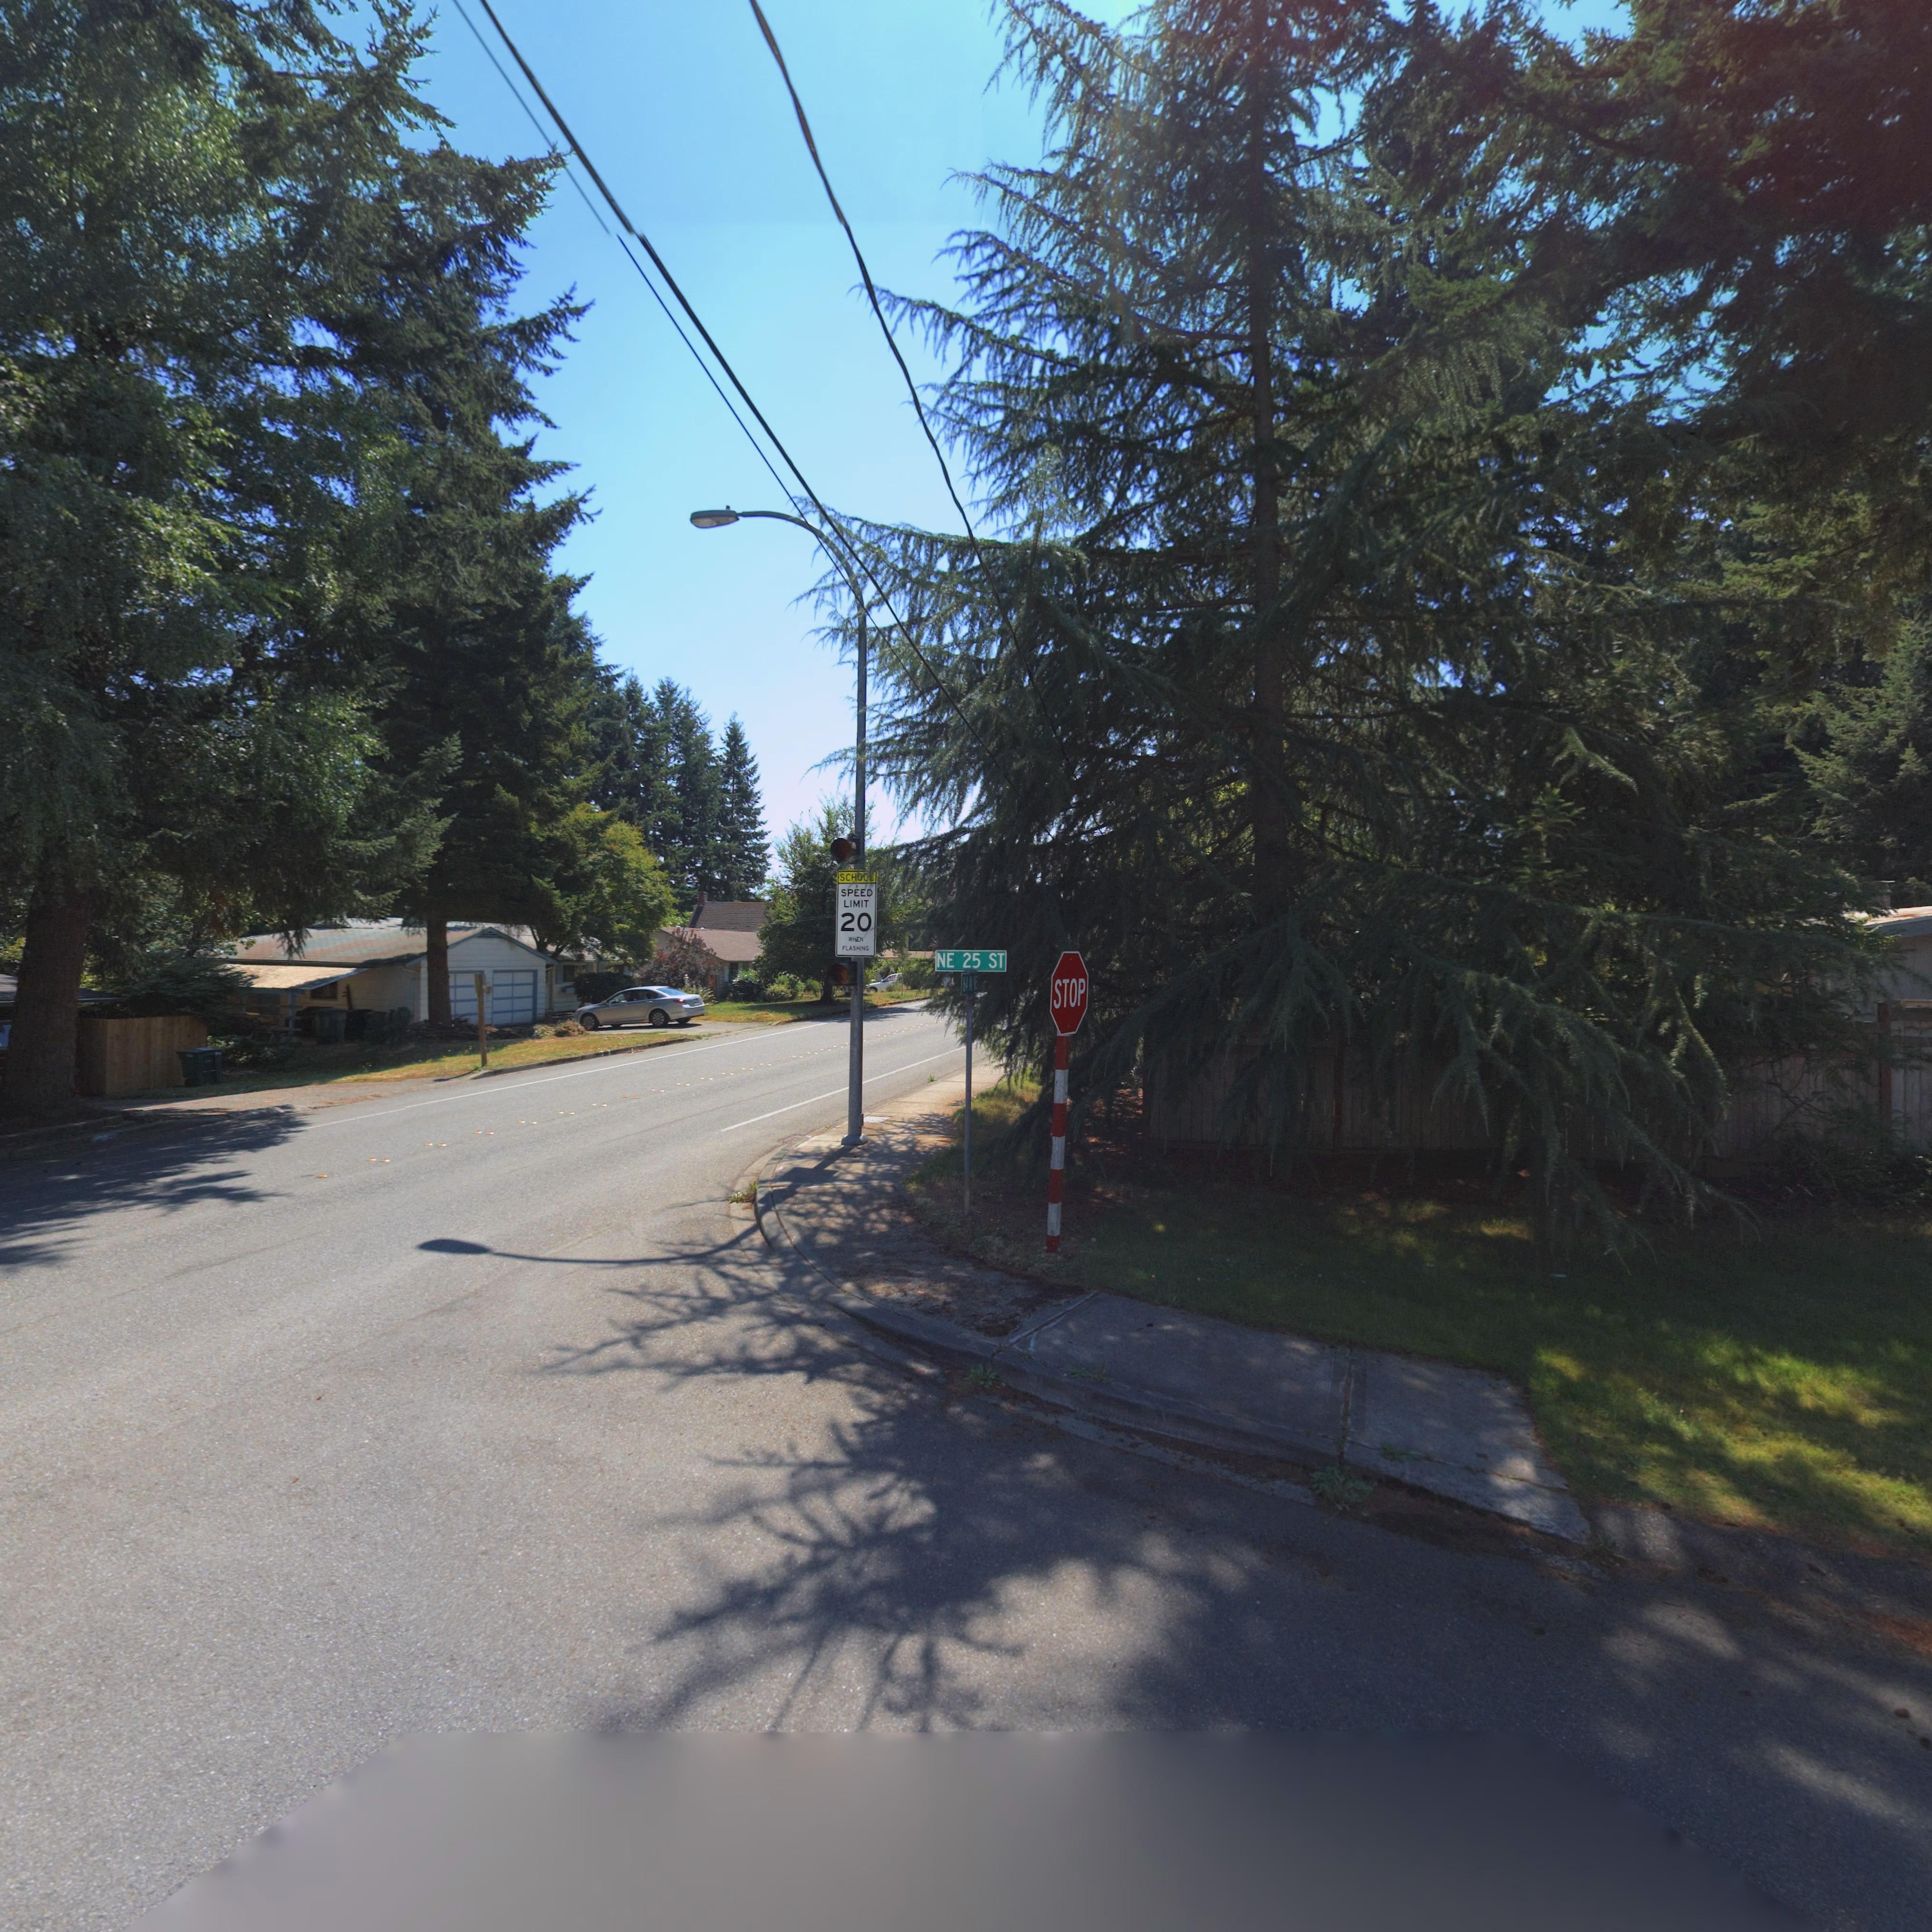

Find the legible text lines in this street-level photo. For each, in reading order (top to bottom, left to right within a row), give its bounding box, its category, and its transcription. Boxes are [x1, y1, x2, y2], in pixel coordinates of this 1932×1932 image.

[936, 950, 1005, 969] StreetName: NE 25 ST